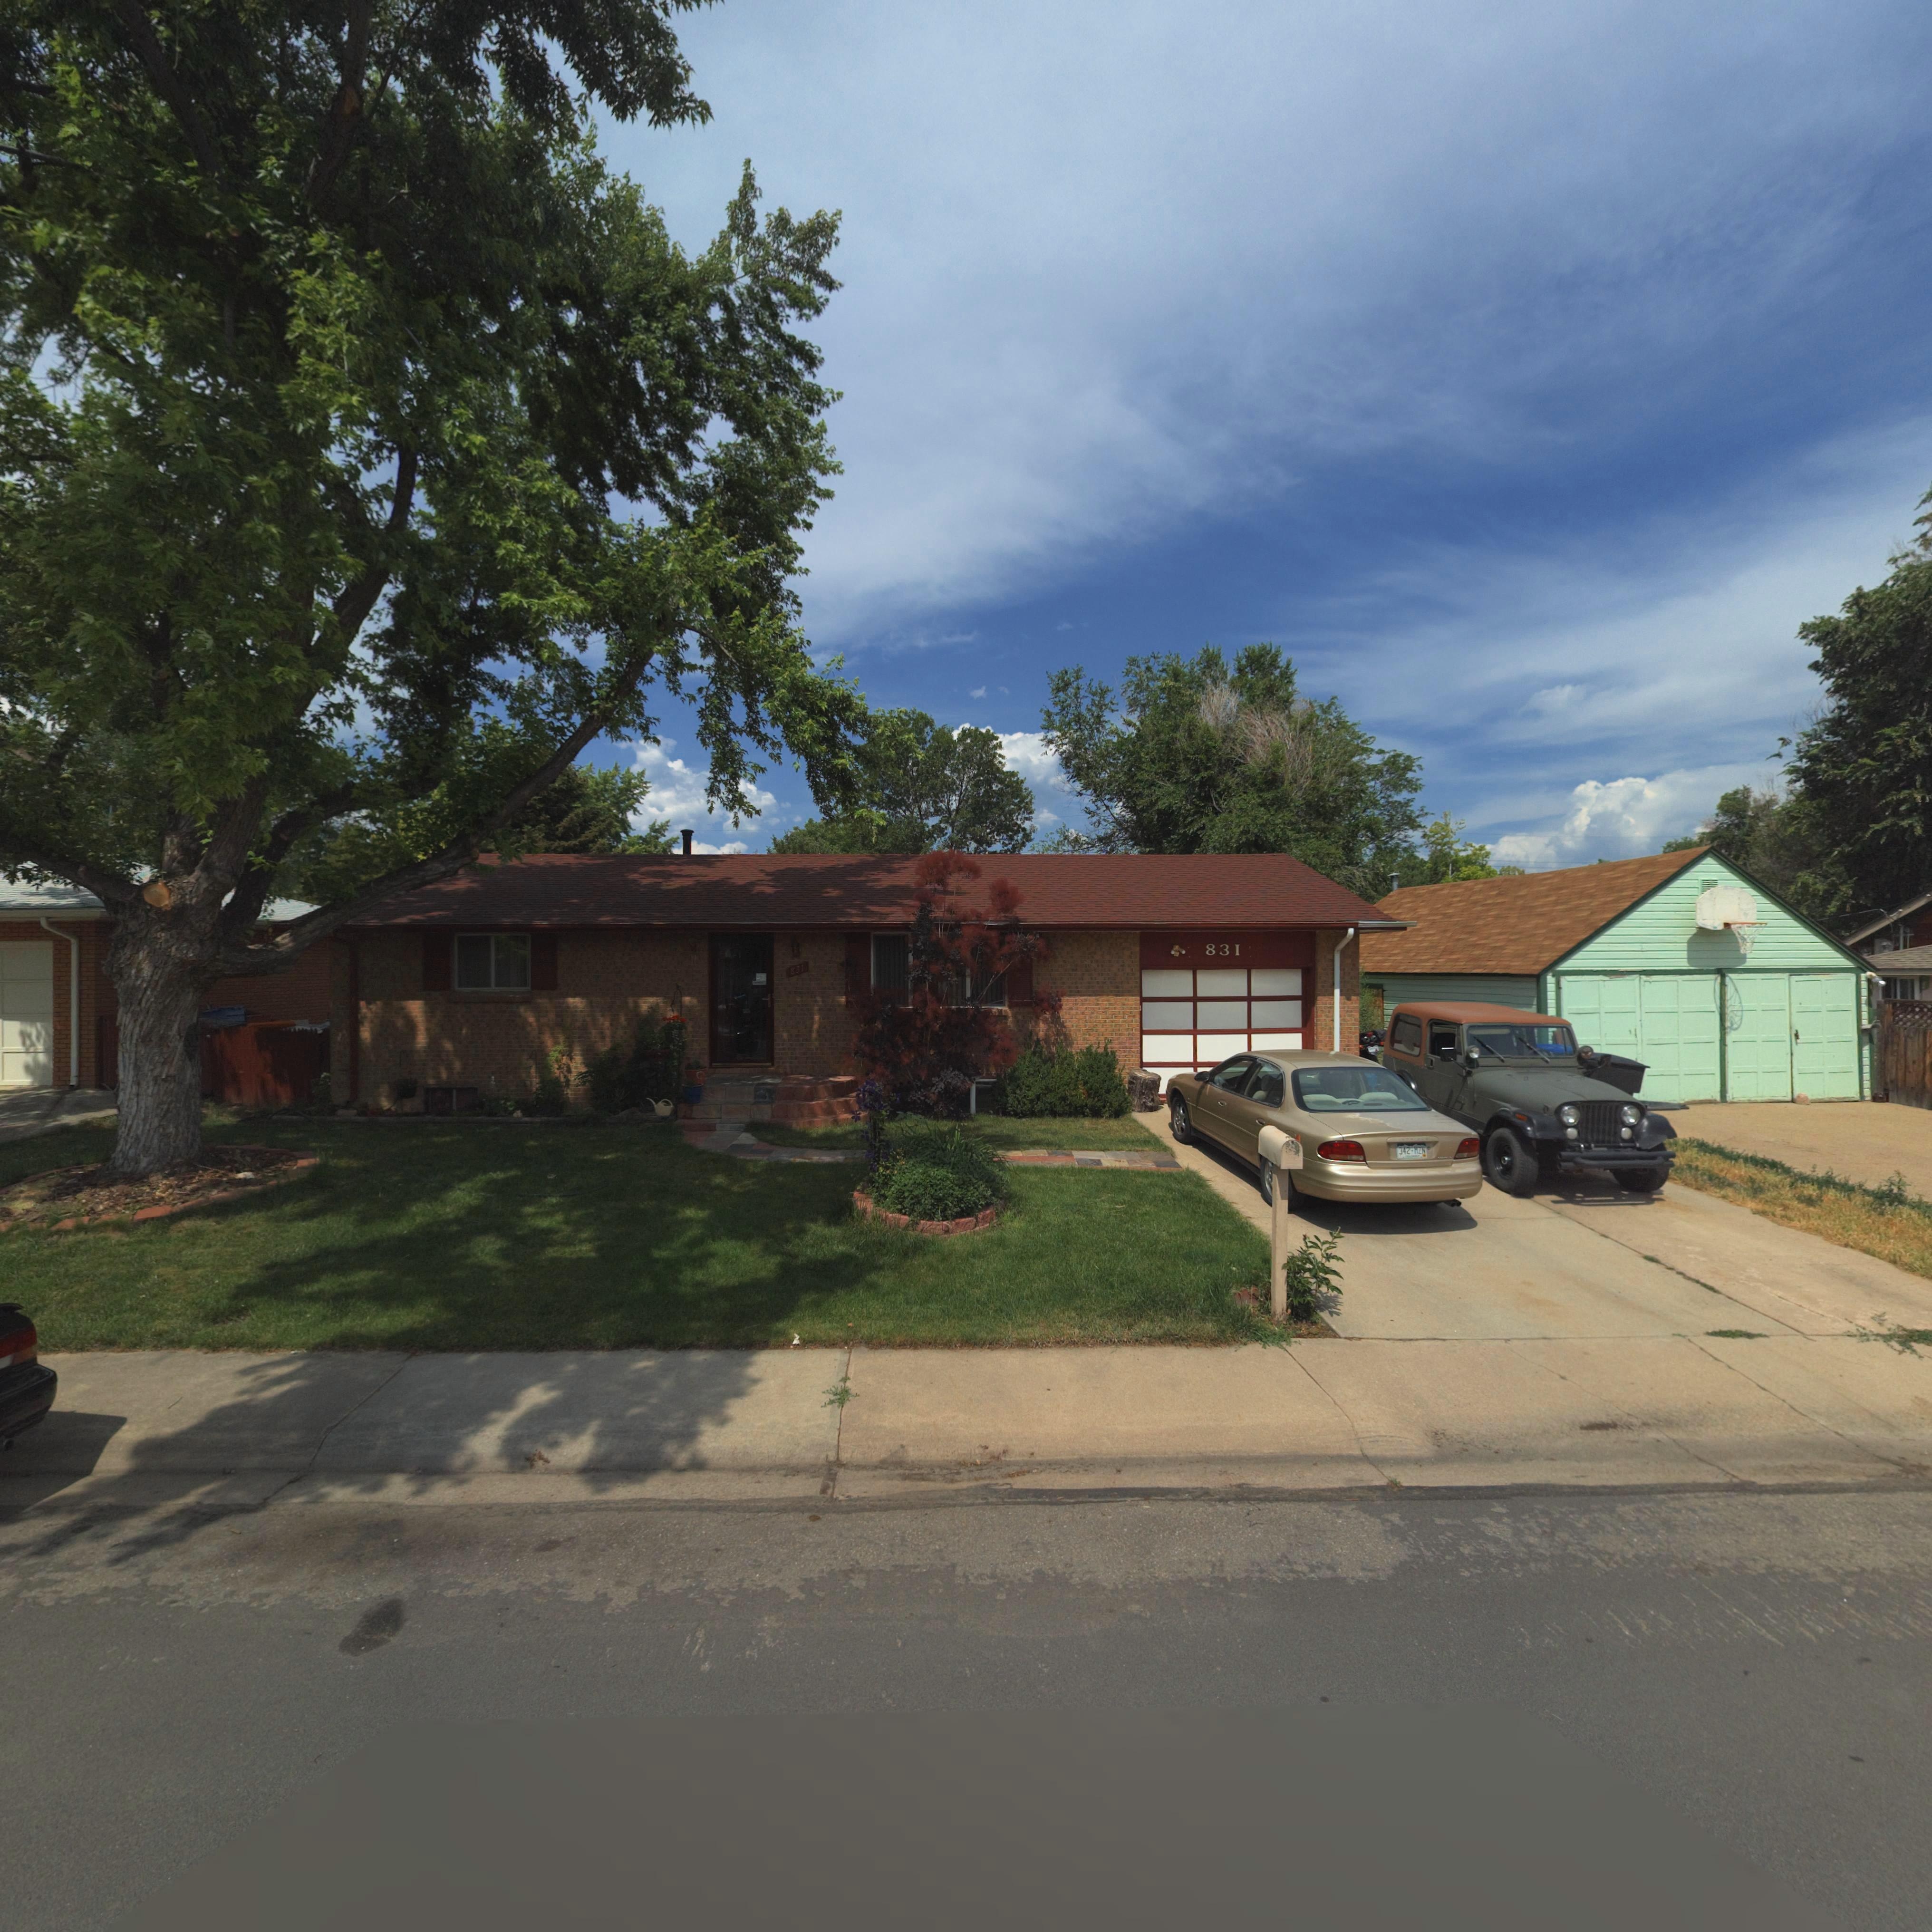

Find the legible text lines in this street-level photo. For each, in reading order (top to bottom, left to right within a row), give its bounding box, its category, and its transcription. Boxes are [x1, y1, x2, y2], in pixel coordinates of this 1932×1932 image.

[1205, 943, 1239, 956] StreetNumber: 831
[790, 964, 804, 975] StreetNumber: 831